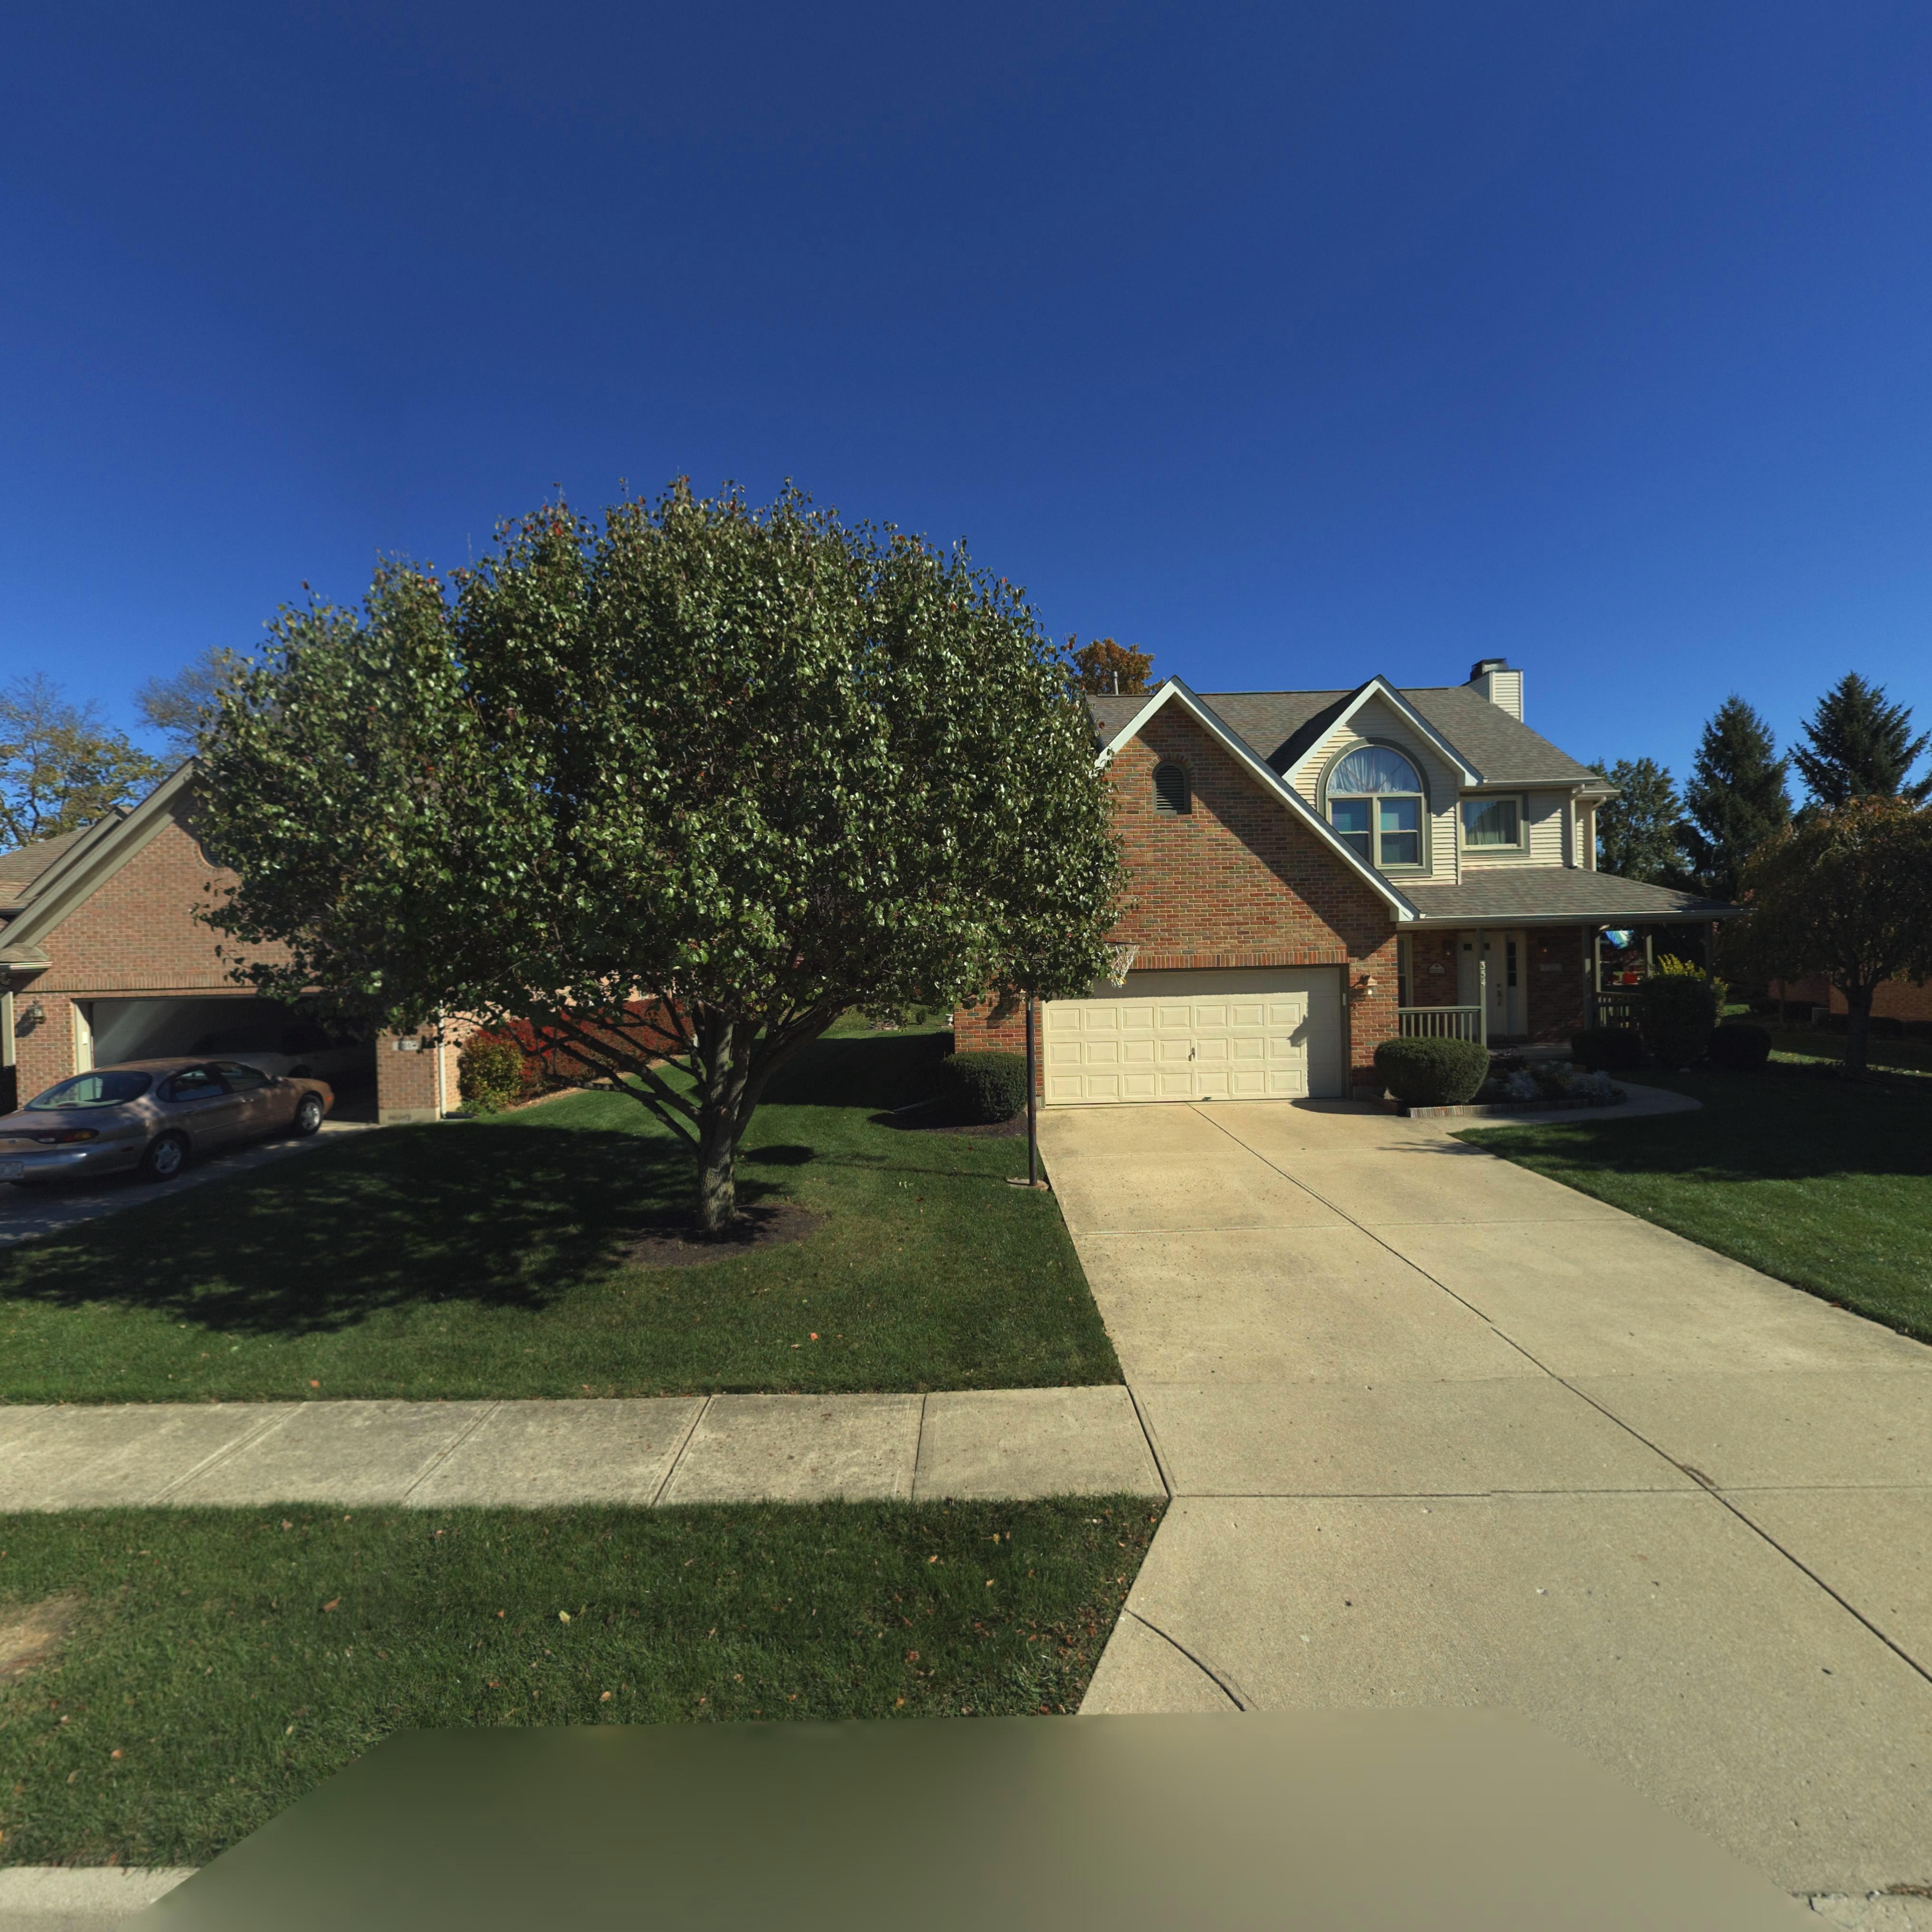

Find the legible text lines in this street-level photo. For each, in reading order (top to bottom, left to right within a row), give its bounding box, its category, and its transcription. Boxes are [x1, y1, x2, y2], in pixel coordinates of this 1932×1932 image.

[1479, 961, 1487, 987] StreetNumber: 354